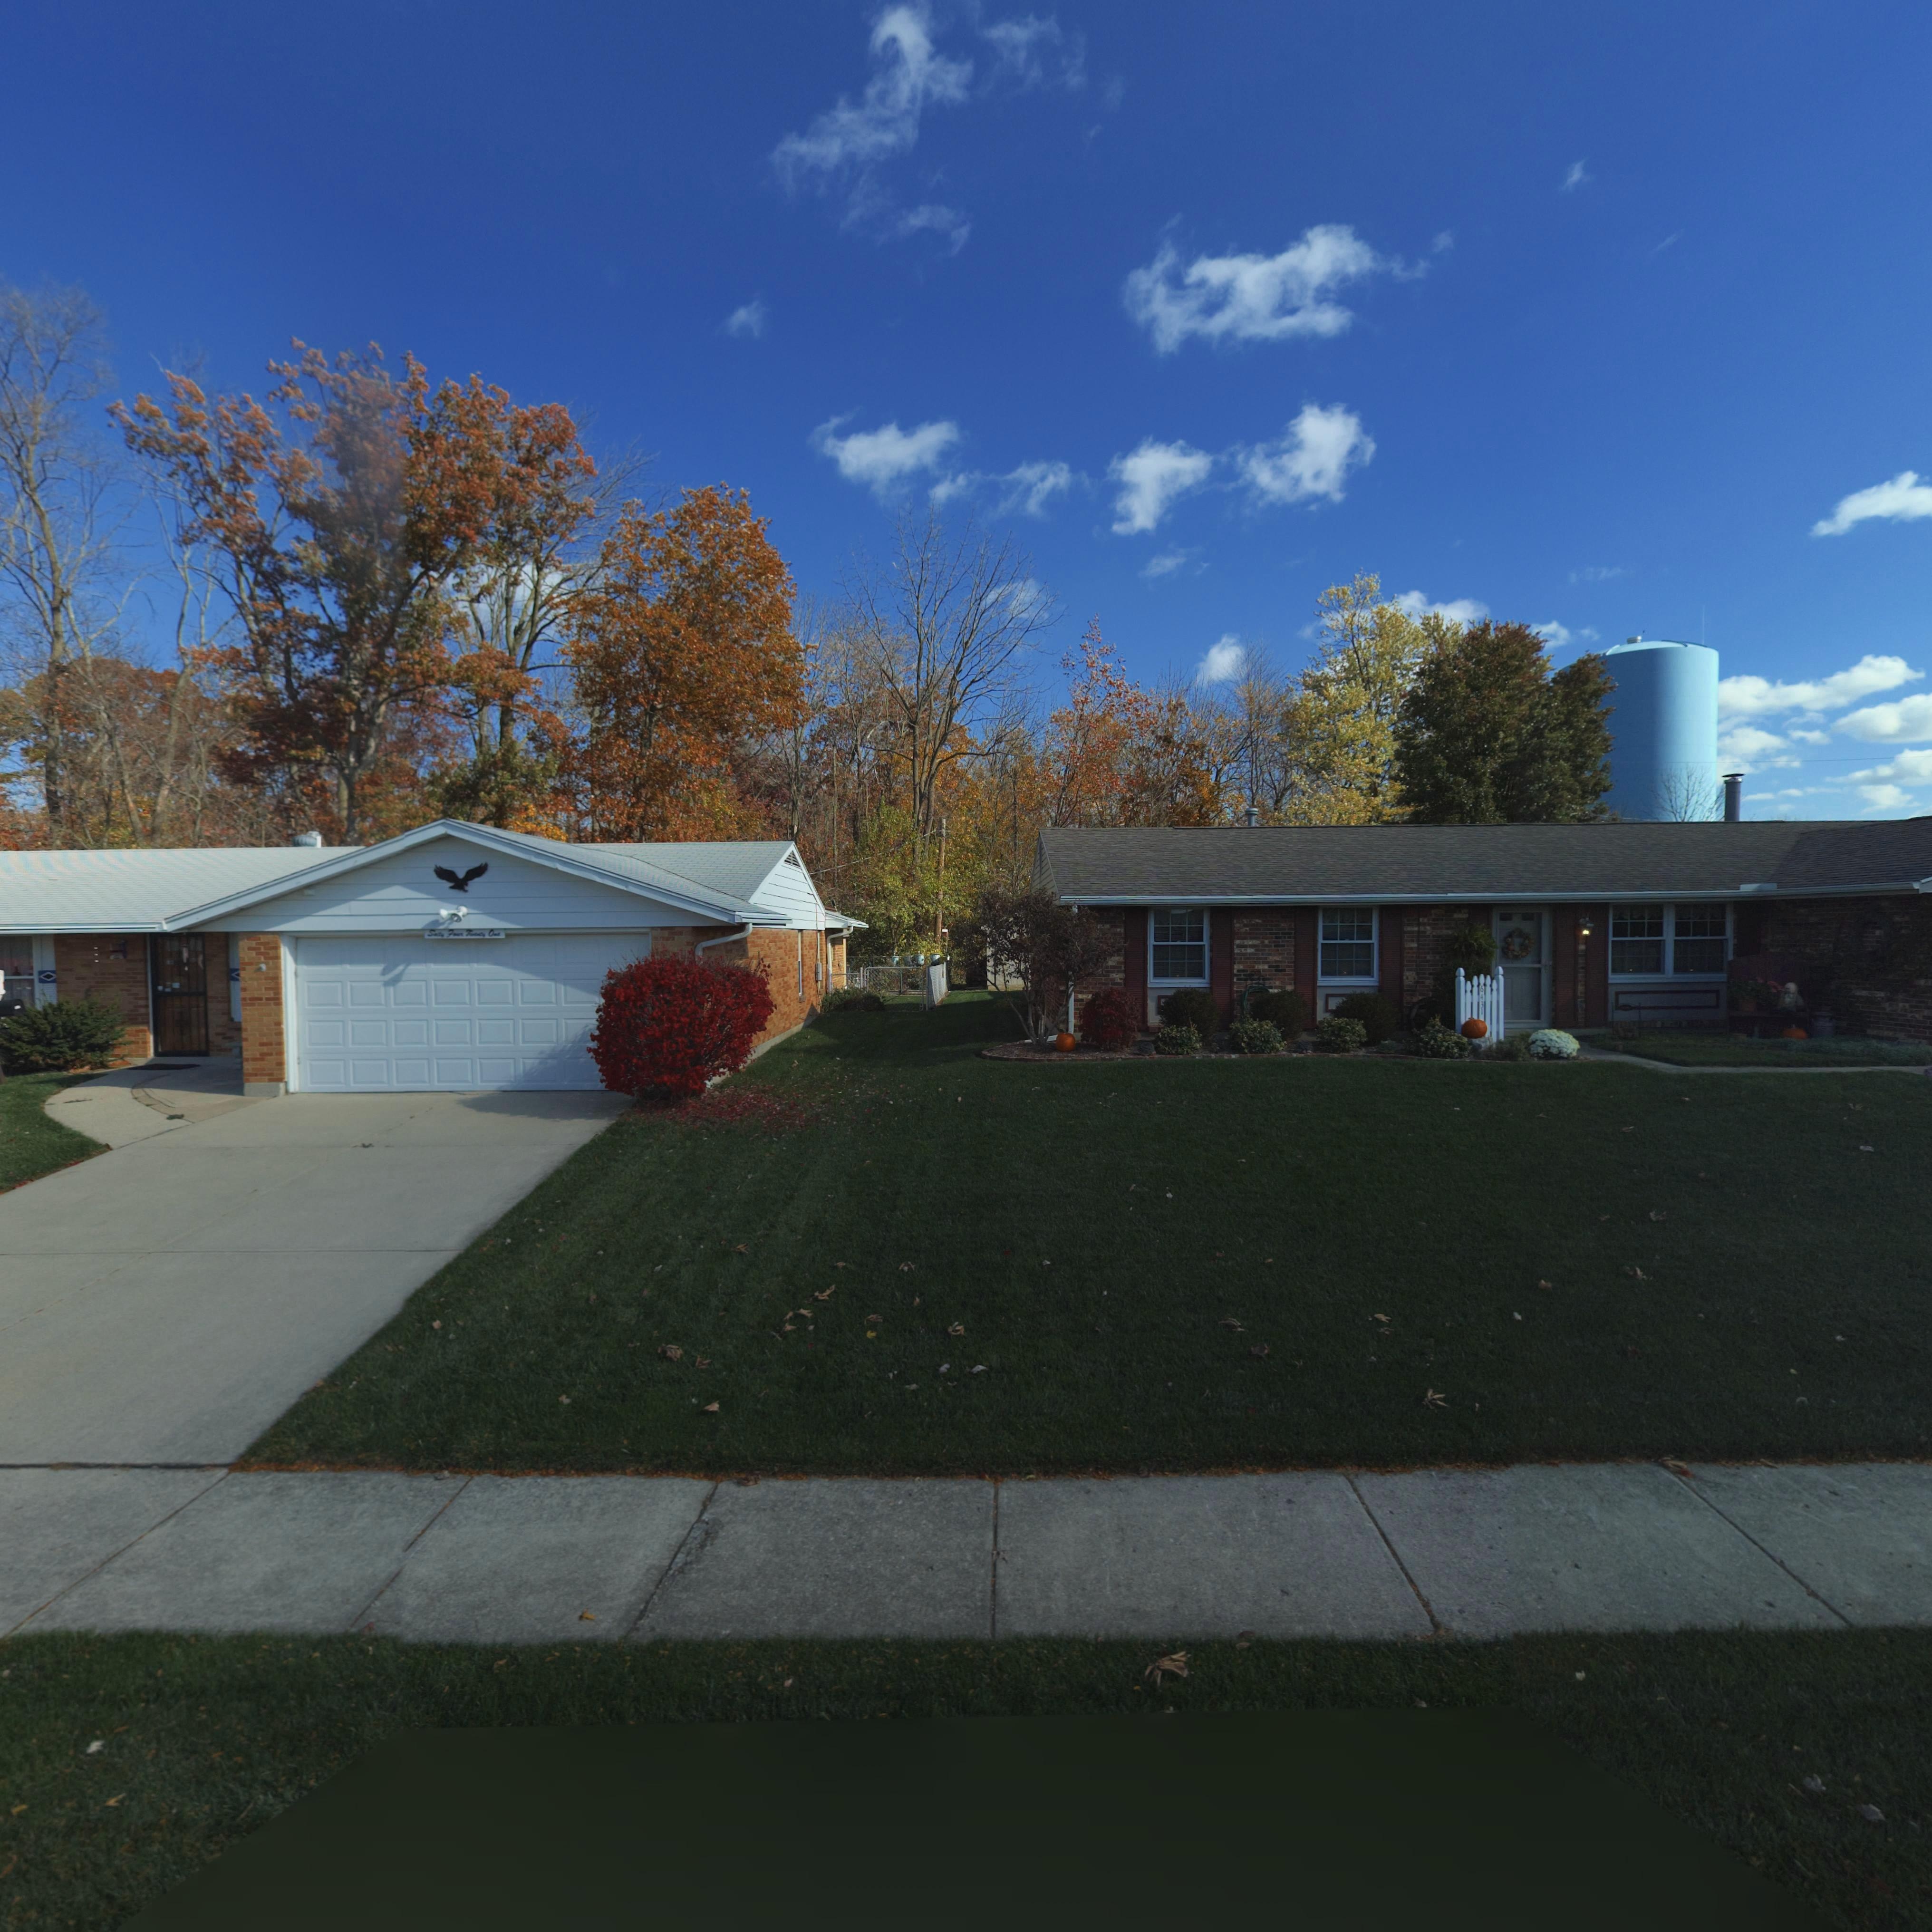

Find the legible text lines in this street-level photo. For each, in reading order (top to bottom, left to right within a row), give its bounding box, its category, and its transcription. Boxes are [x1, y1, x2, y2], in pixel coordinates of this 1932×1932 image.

[425, 928, 501, 939] StreetNumber: Sixty Four Twenty One
[1480, 985, 1484, 1015] StreetNumber: 6431